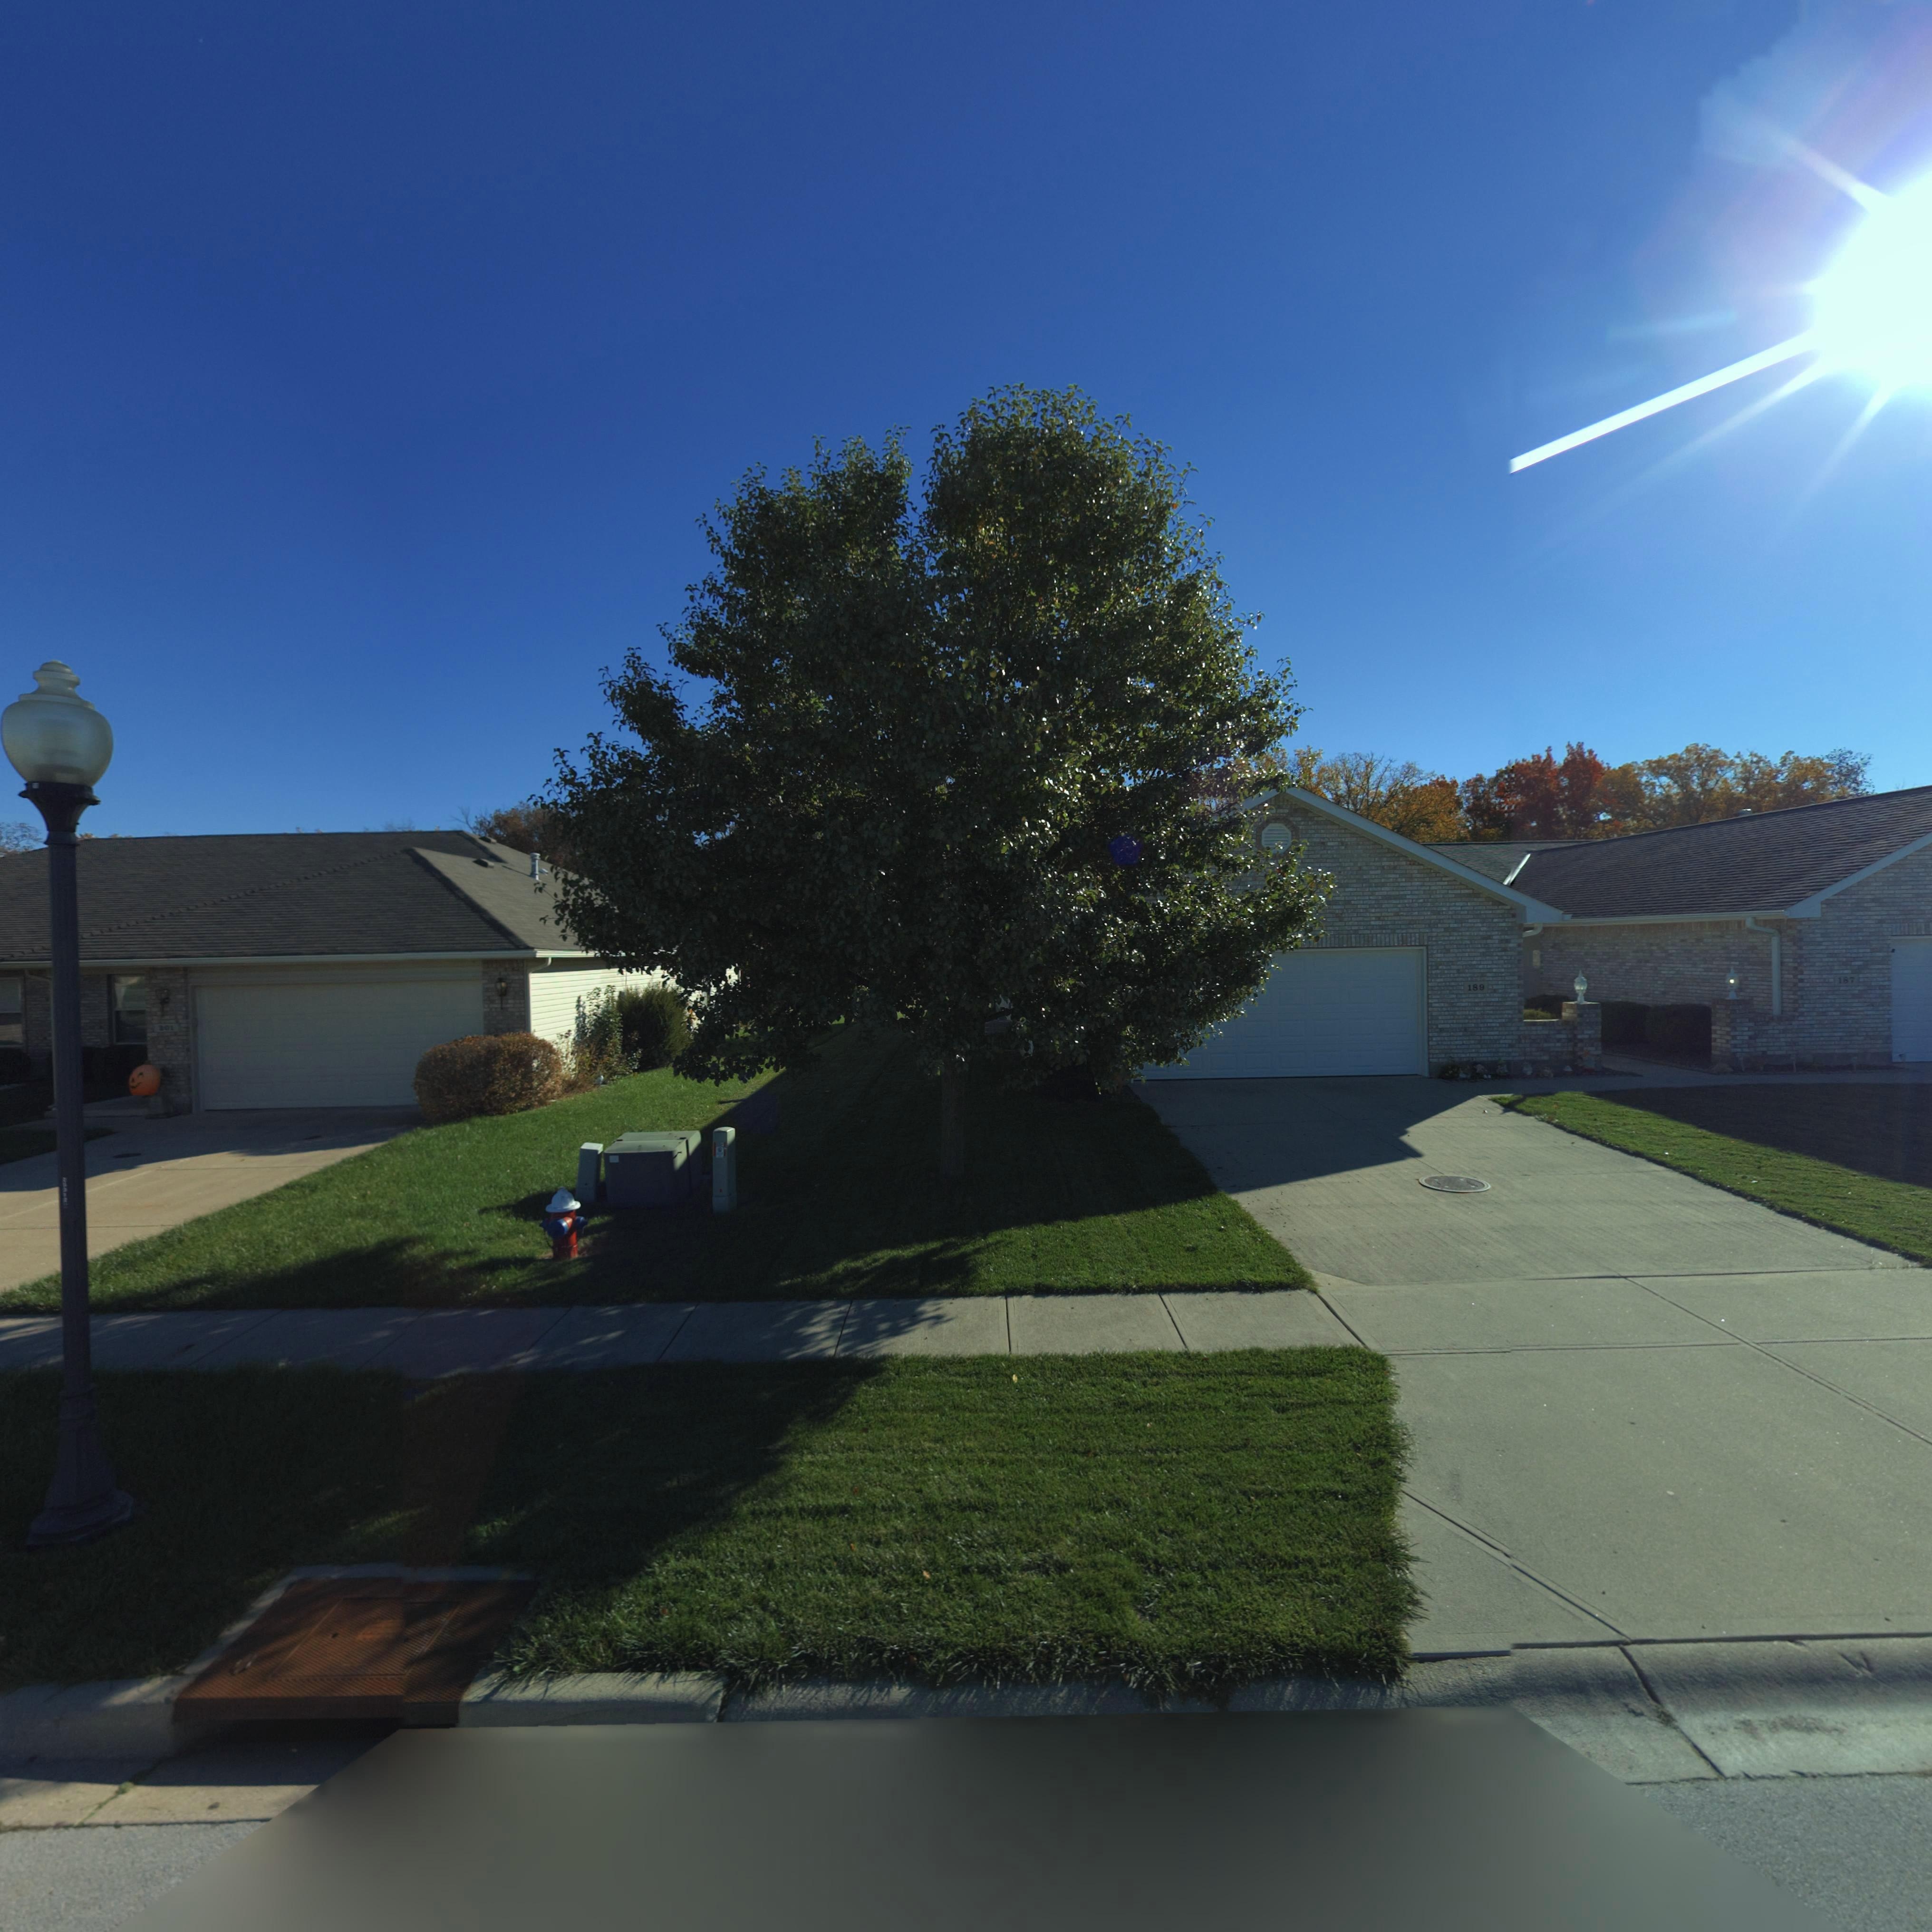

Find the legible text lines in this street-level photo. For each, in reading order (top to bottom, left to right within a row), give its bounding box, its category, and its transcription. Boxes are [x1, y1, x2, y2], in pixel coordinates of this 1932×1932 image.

[1837, 976, 1856, 984] StreetNumber: 187
[1467, 983, 1486, 992] StreetNumber: 189